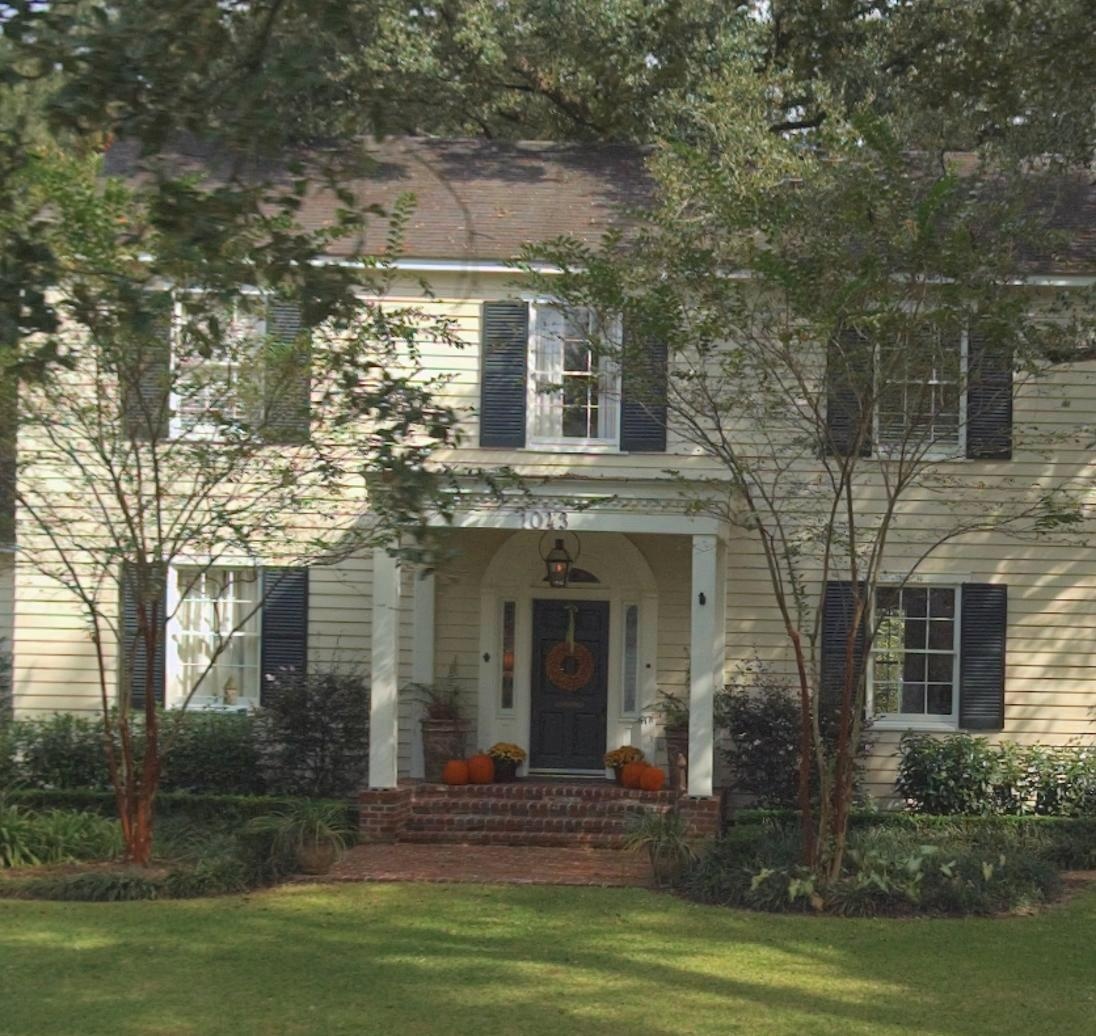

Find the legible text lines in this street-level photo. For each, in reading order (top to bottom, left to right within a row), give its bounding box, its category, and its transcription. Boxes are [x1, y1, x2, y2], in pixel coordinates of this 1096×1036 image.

[515, 510, 570, 532] StreetNumber: 1043